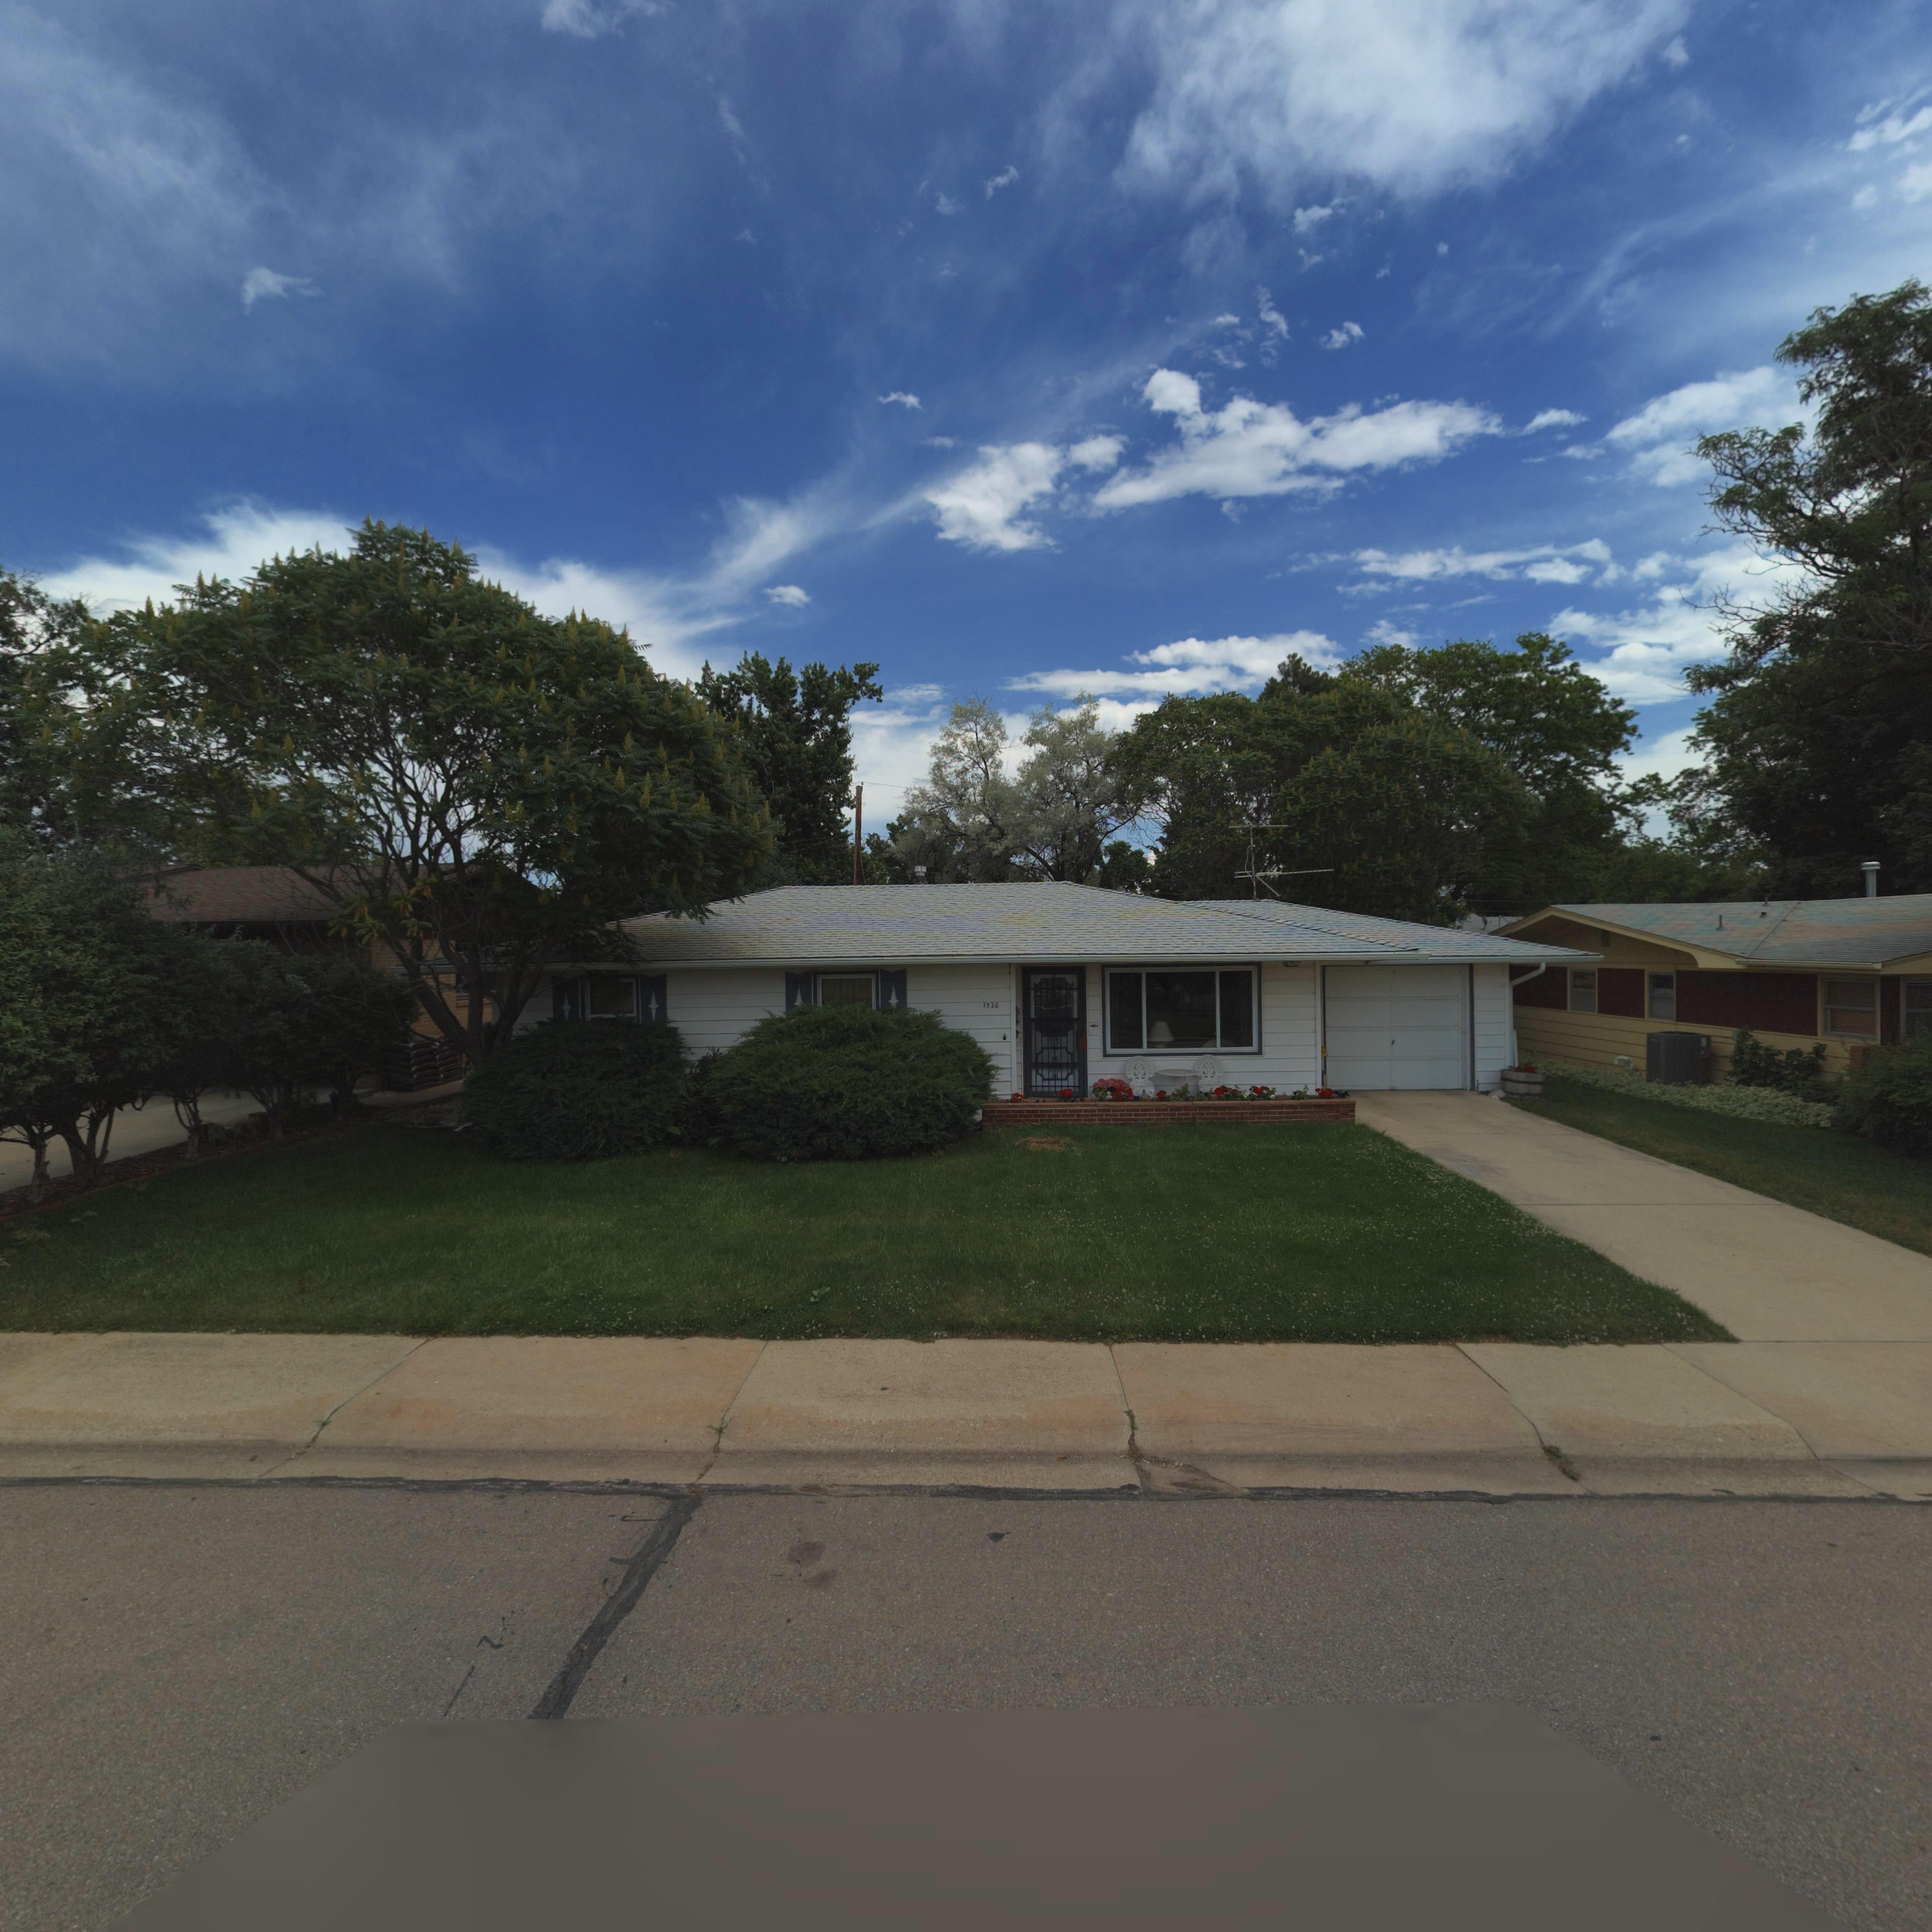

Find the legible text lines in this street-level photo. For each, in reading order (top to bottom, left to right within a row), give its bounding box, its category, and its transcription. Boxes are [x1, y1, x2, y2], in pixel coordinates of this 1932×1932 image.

[983, 1002, 998, 1008] StreetNumber: 1326